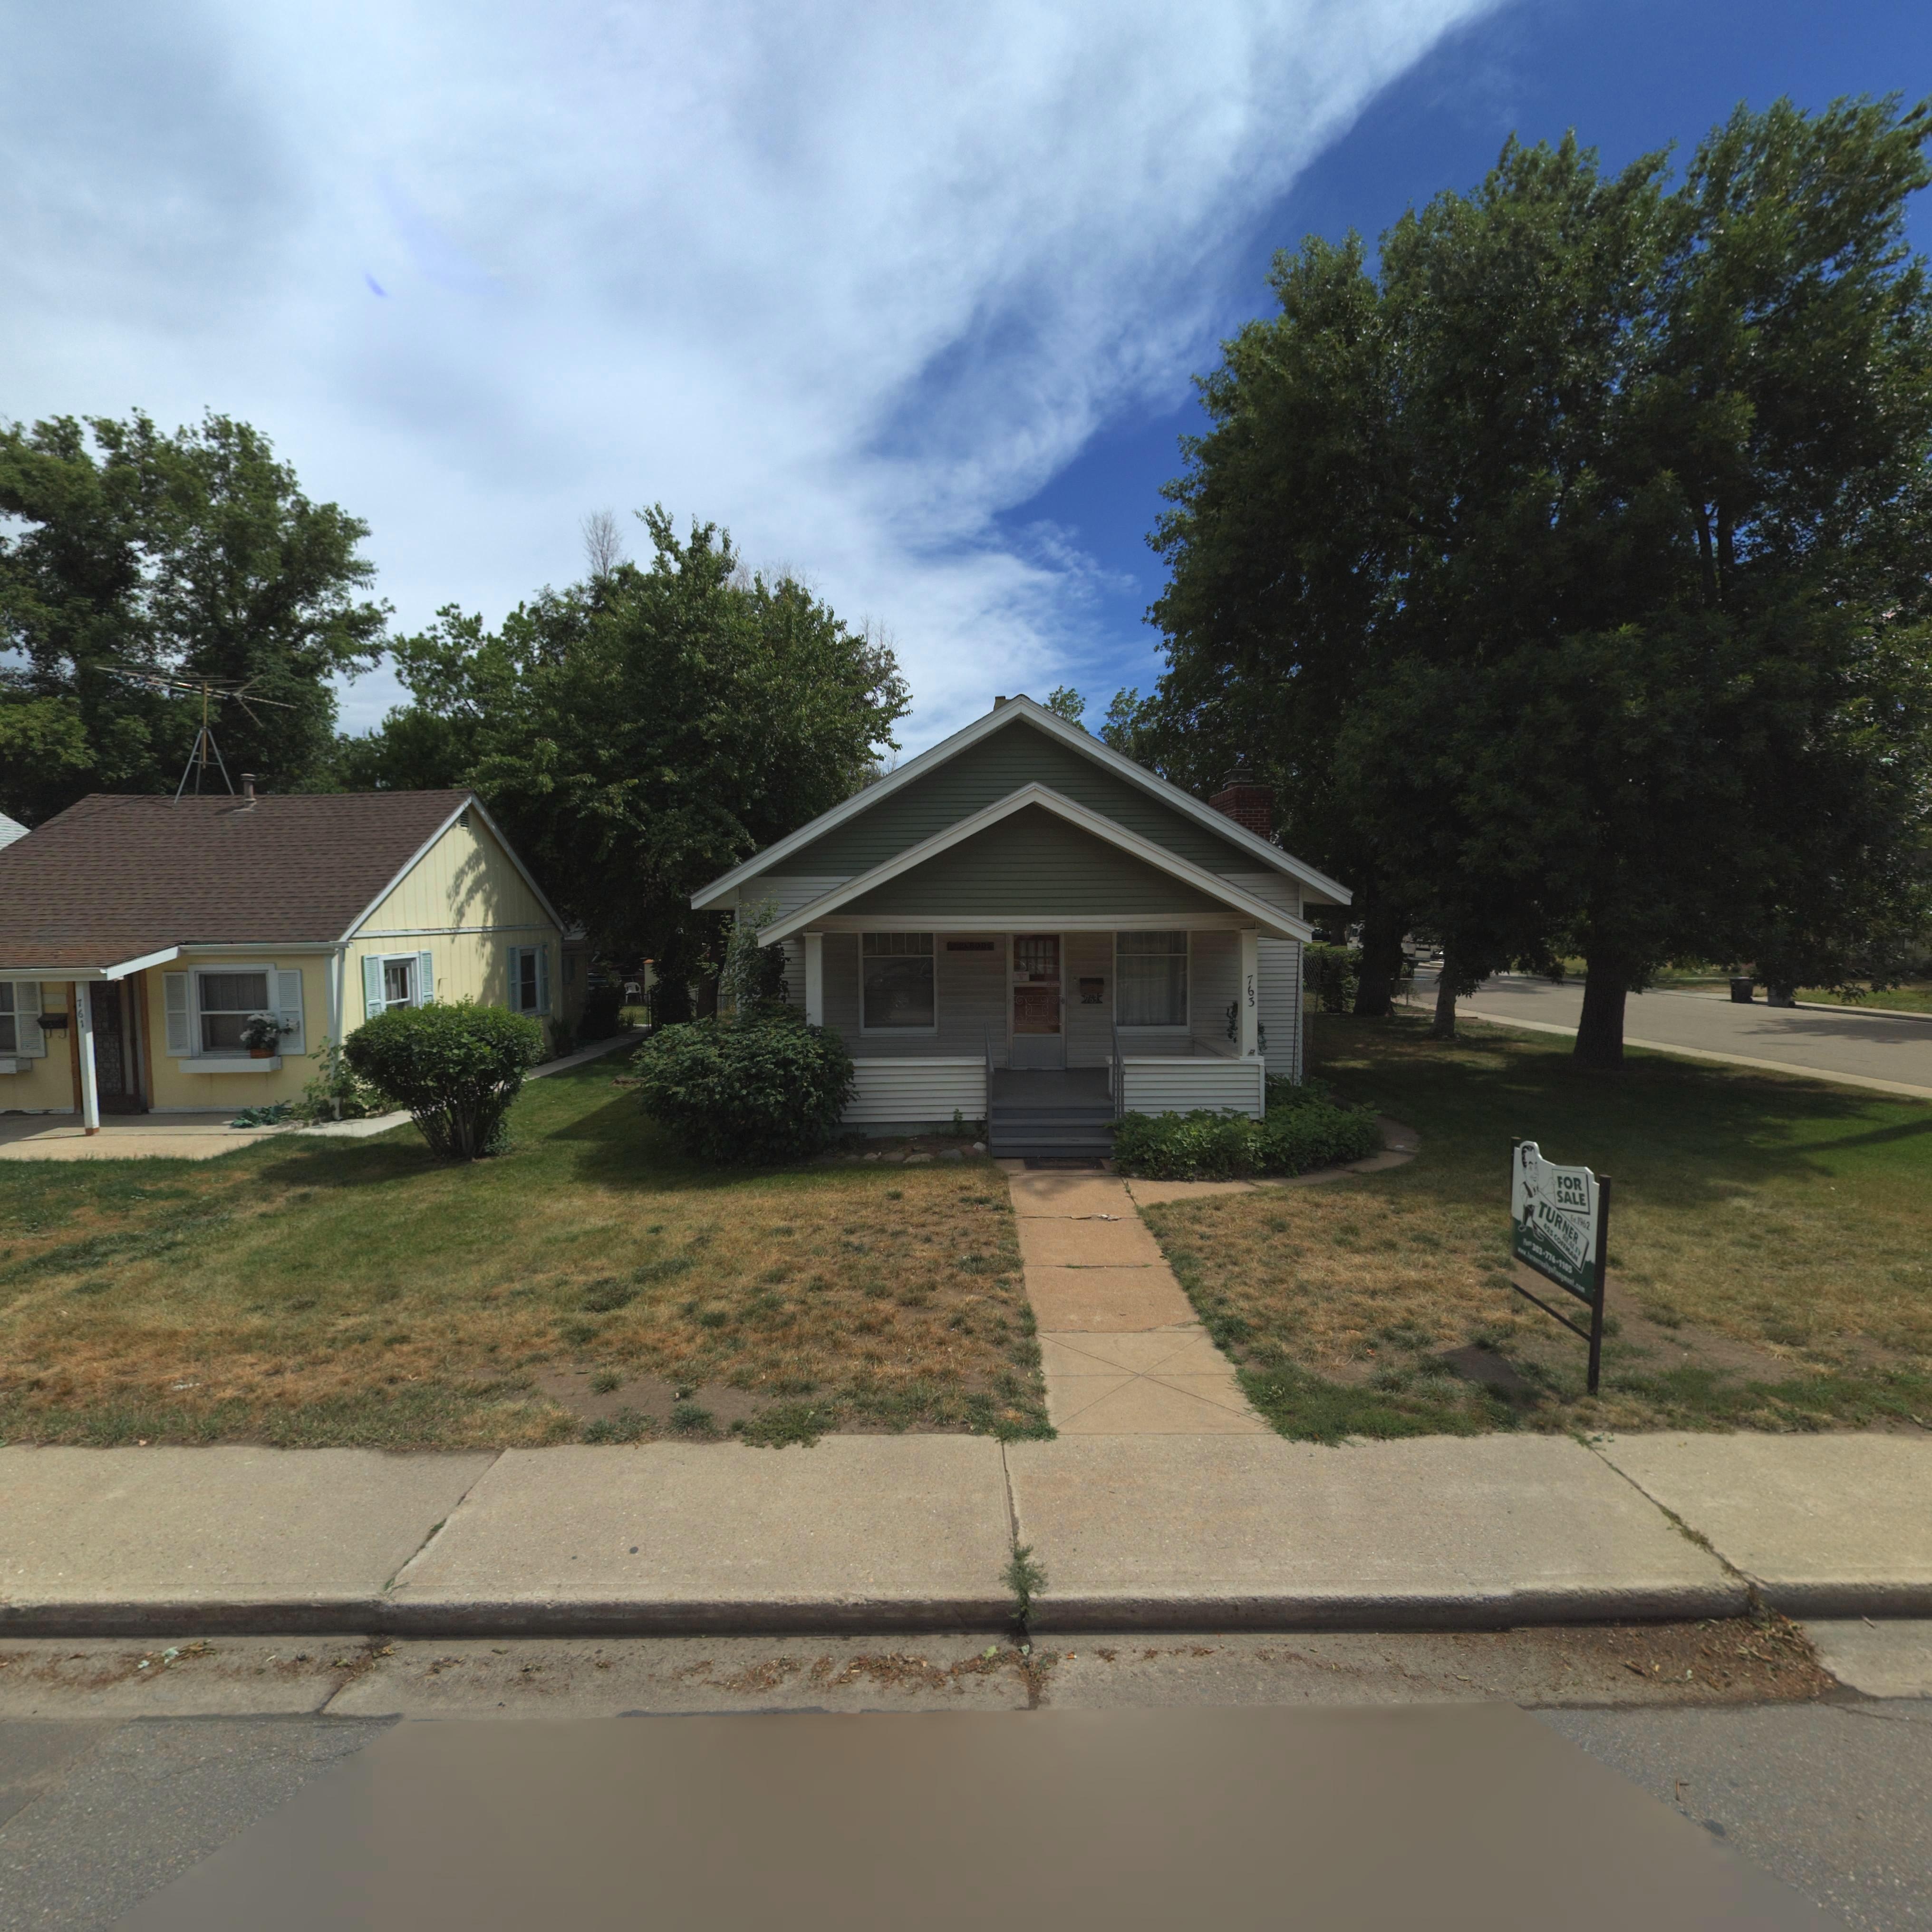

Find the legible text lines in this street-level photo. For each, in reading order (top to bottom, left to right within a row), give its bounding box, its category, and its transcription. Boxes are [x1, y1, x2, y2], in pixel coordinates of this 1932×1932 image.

[76, 998, 84, 1028] StreetNumber: 761
[1084, 995, 1097, 1003] StreetNumber: 763
[1246, 973, 1255, 1007] StreetNumber: 763